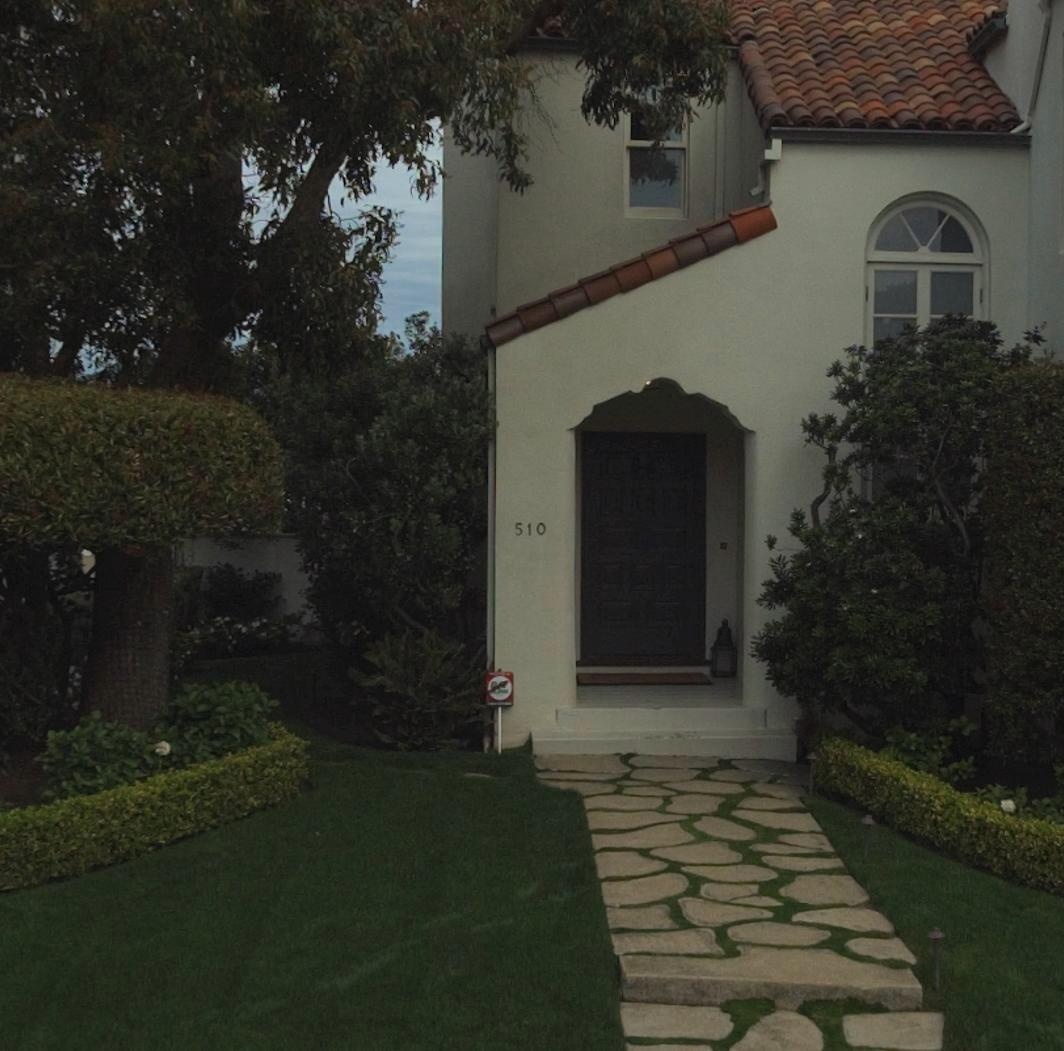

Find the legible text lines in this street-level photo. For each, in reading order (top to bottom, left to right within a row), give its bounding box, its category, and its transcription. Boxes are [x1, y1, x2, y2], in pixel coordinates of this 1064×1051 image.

[513, 521, 547, 537] StreetNumber: 510